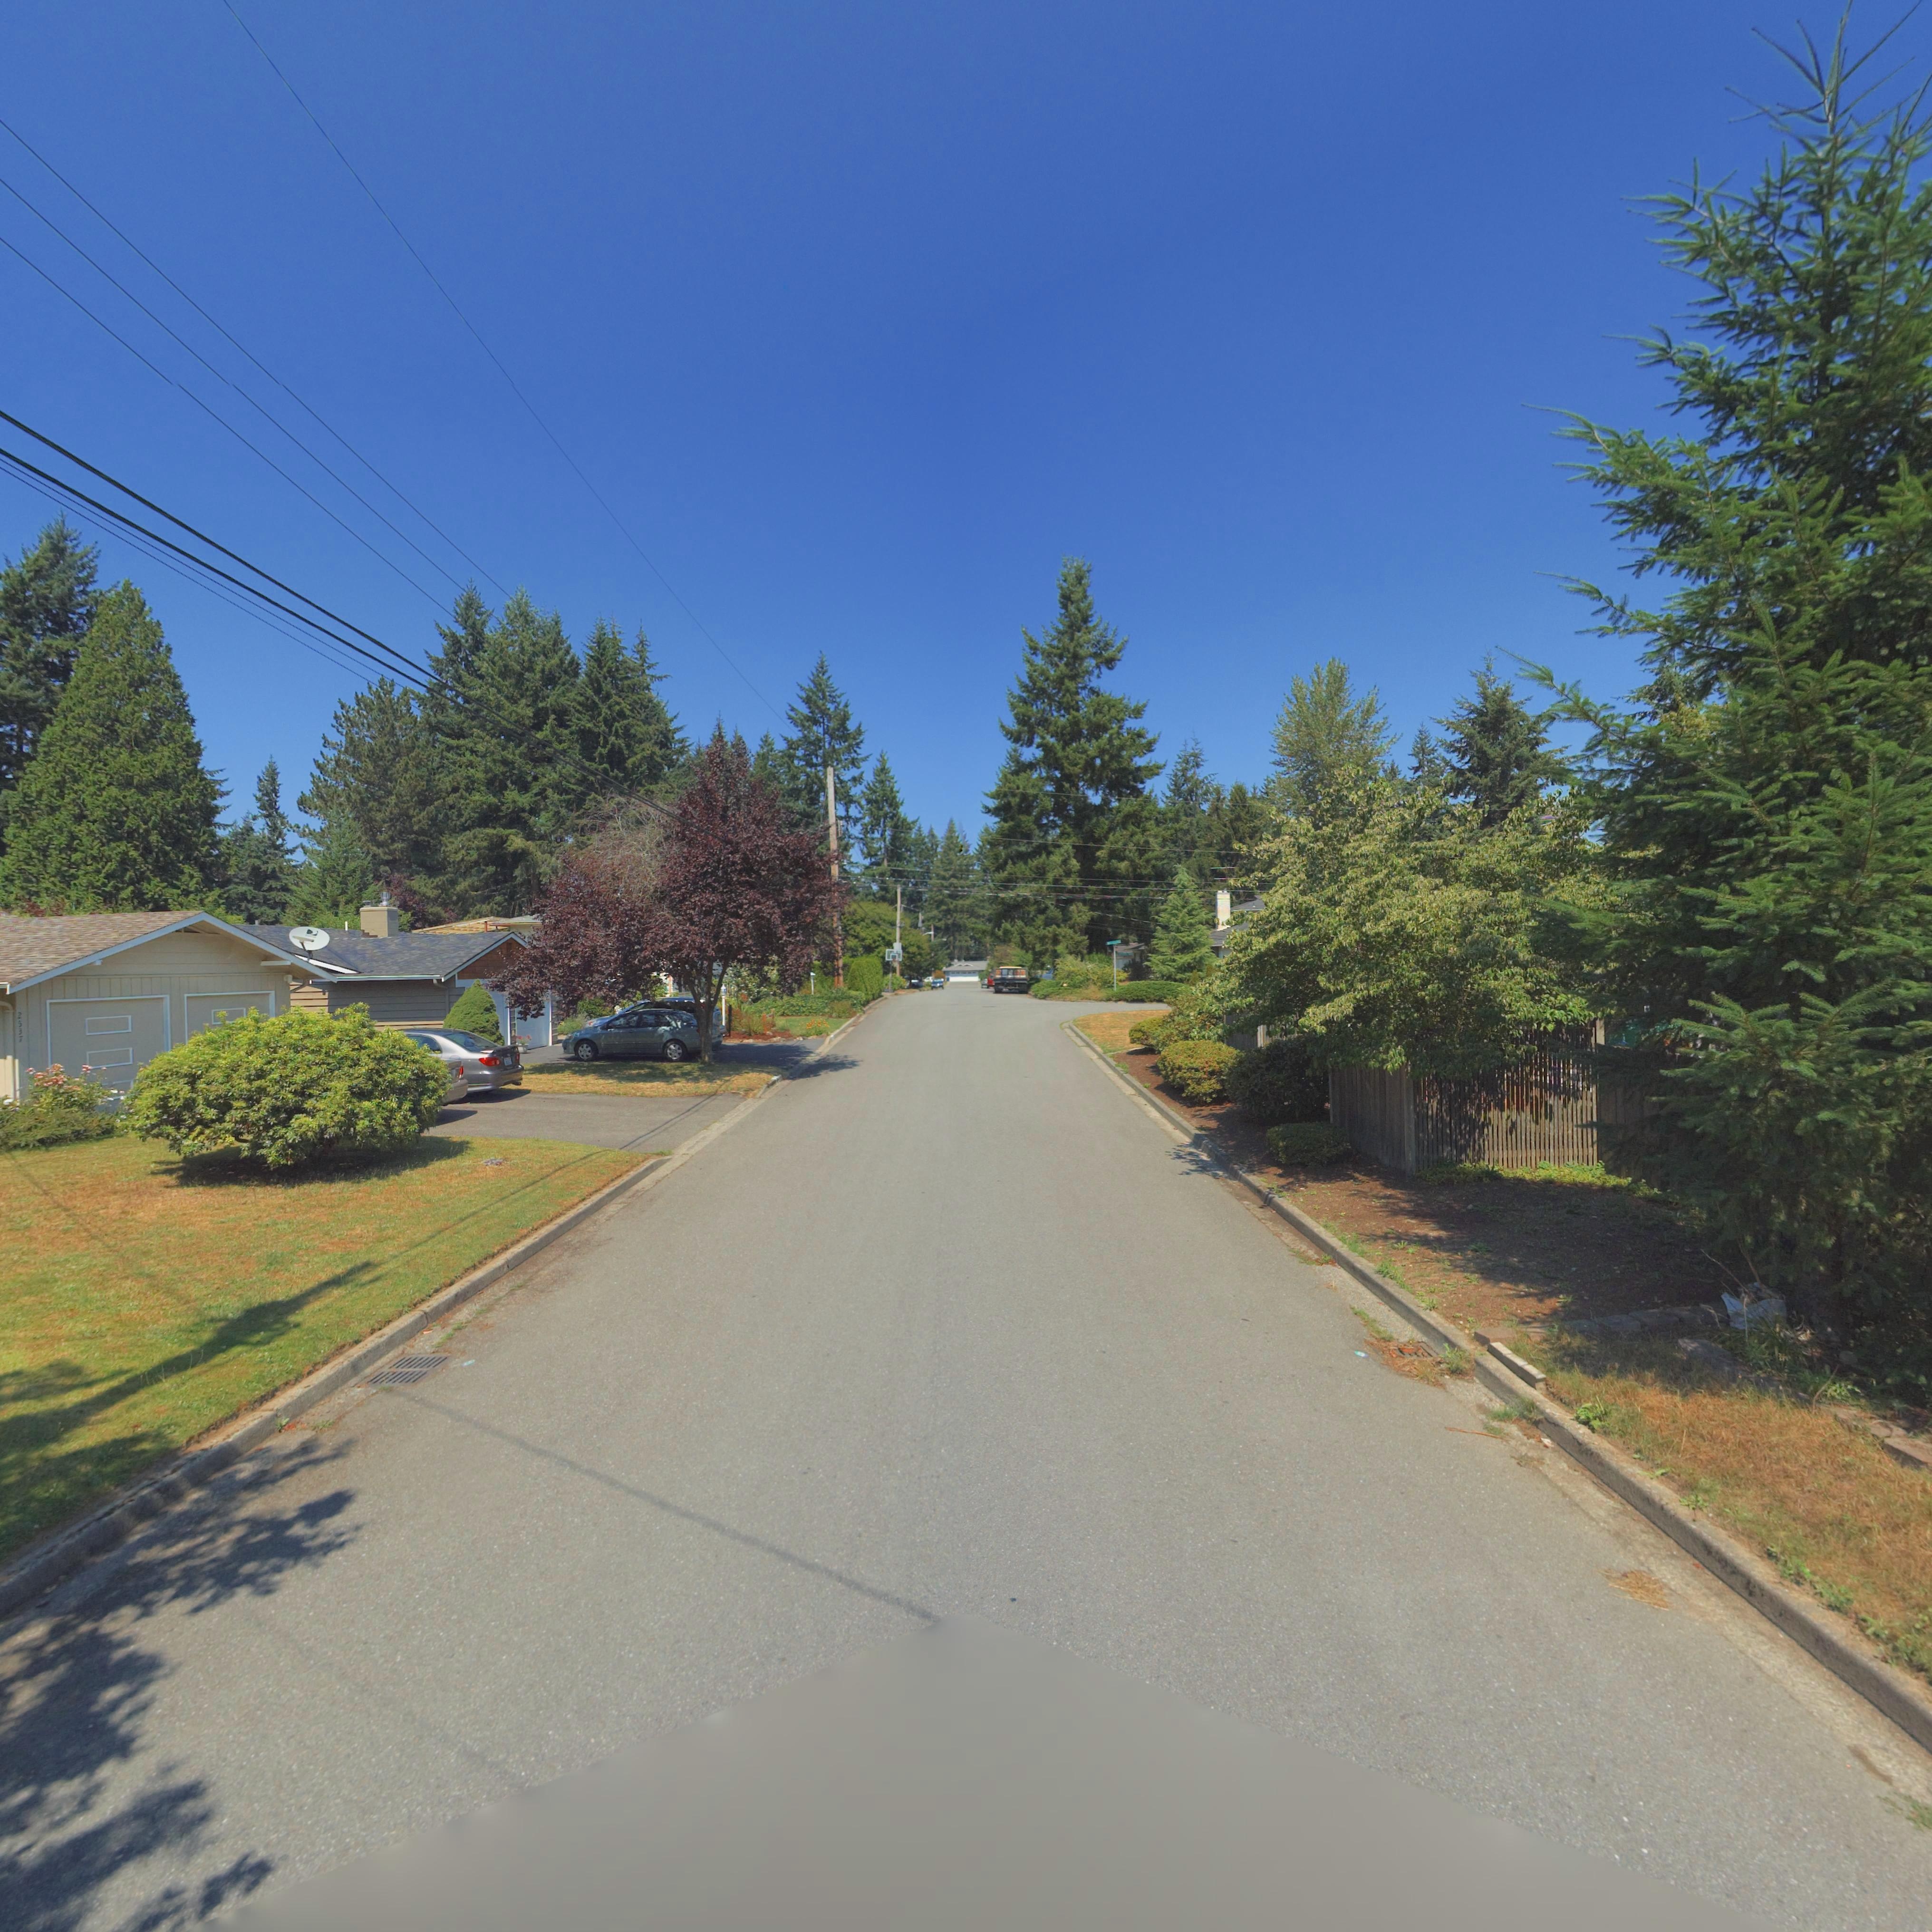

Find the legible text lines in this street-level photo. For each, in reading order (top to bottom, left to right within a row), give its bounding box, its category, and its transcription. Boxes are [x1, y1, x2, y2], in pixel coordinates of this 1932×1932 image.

[17, 1010, 24, 1043] StreetNumber: 2537